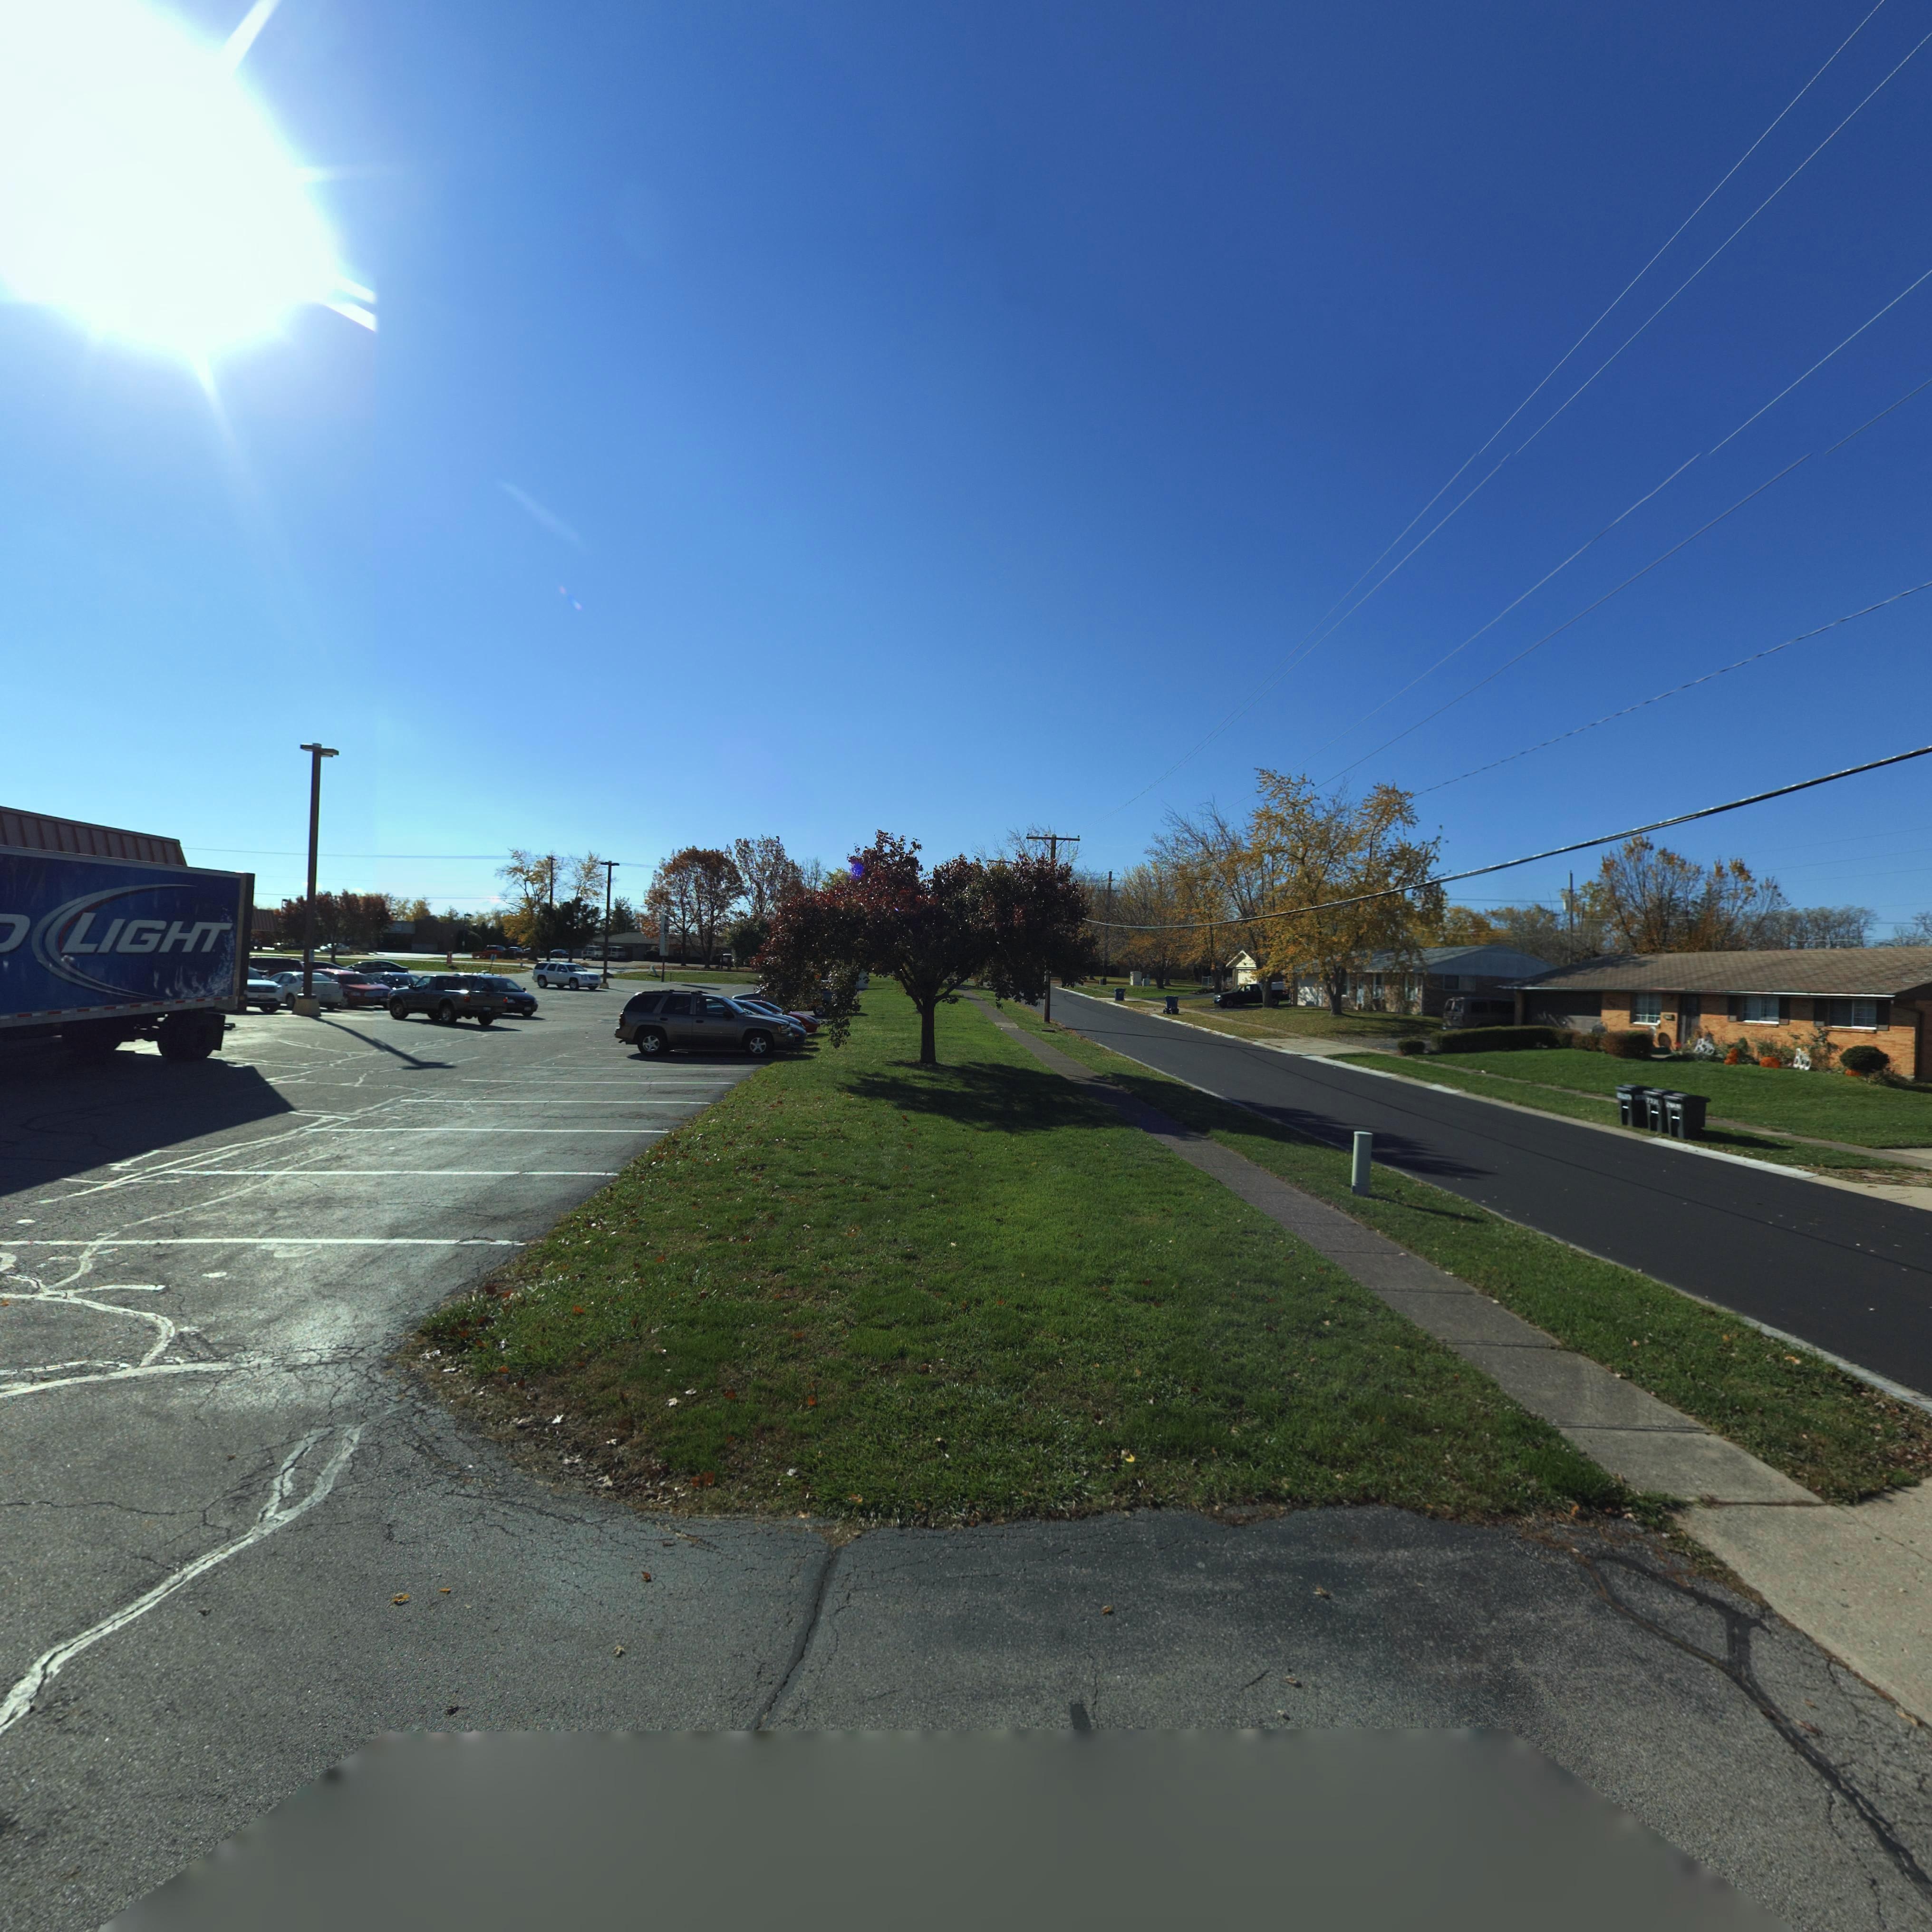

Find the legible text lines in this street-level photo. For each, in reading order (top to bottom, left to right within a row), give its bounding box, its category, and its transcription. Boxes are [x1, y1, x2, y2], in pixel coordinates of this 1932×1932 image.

[1604, 997, 1610, 1004] StreetNumber: 7
[1645, 1097, 1660, 1106] StreetNumber: 7*31